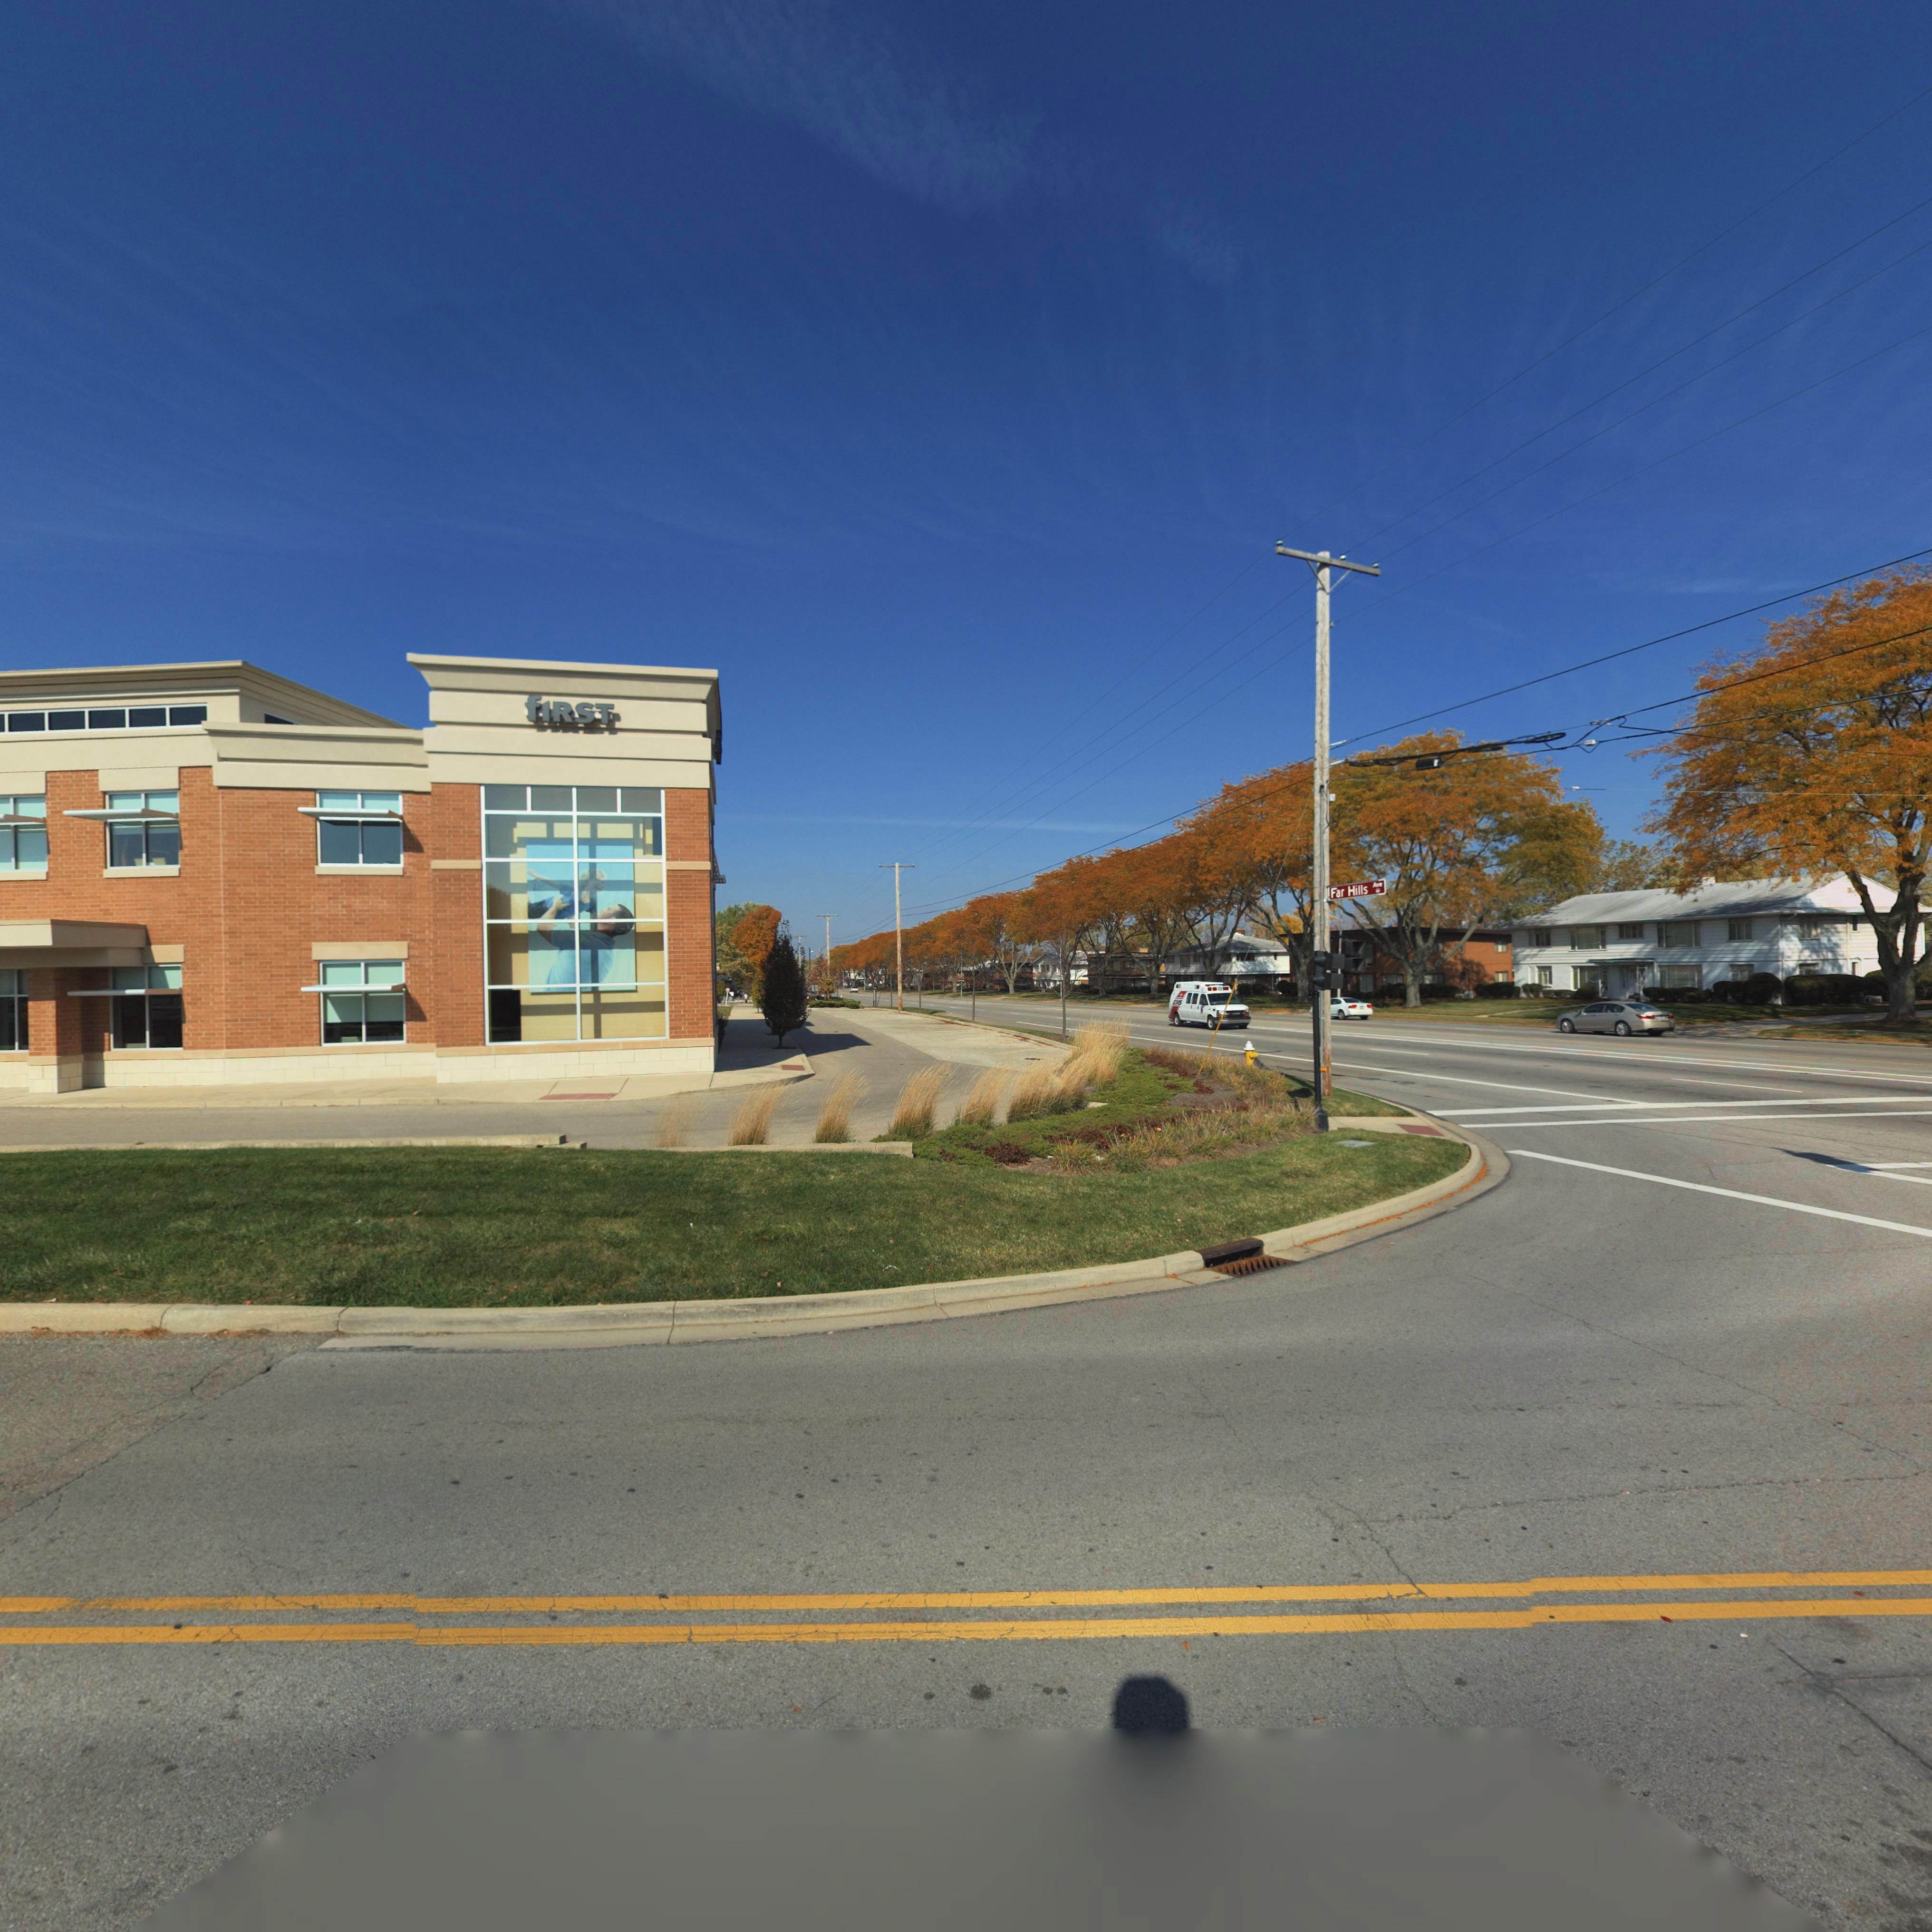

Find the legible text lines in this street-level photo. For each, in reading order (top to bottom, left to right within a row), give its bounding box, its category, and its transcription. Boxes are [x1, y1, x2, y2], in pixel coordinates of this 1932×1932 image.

[524, 694, 615, 725] BusinessName: fIRST
[1329, 880, 1384, 900] StreetName: Far Hill ***
[1171, 998, 1183, 1006] None: E*S